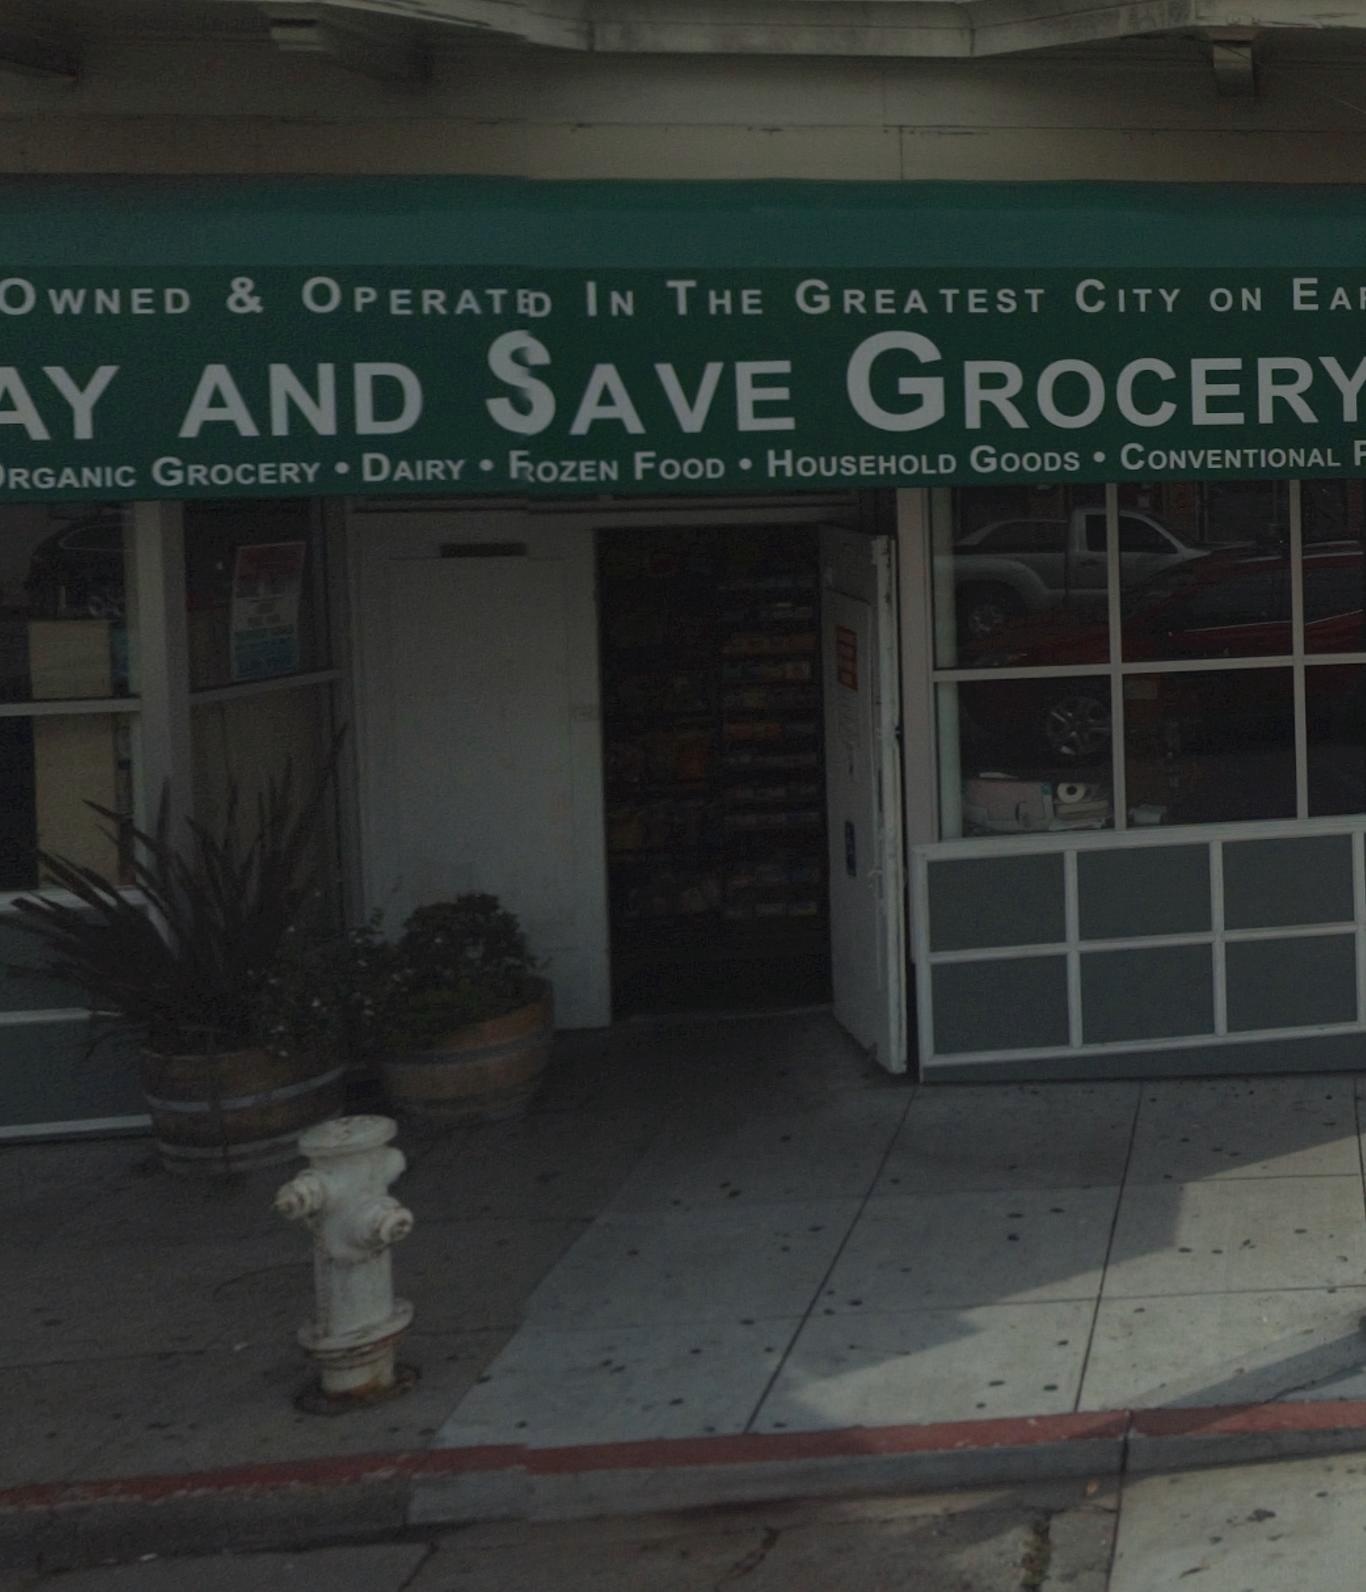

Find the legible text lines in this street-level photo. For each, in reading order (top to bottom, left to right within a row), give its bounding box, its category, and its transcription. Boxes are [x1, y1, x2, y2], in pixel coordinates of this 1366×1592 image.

[0, 272, 1357, 319] None: OWNED & OPERAT*D IN THE GREATEST CITY ON EA
[39, 325, 1323, 447] BusinessName: Y AND SAVE GROCER
[8, 437, 1346, 496] None: RGANIC GROCERY * DAIRY * F*OZEN FOOD * HOUSEHOLD GOODS * CONVENTIONAL